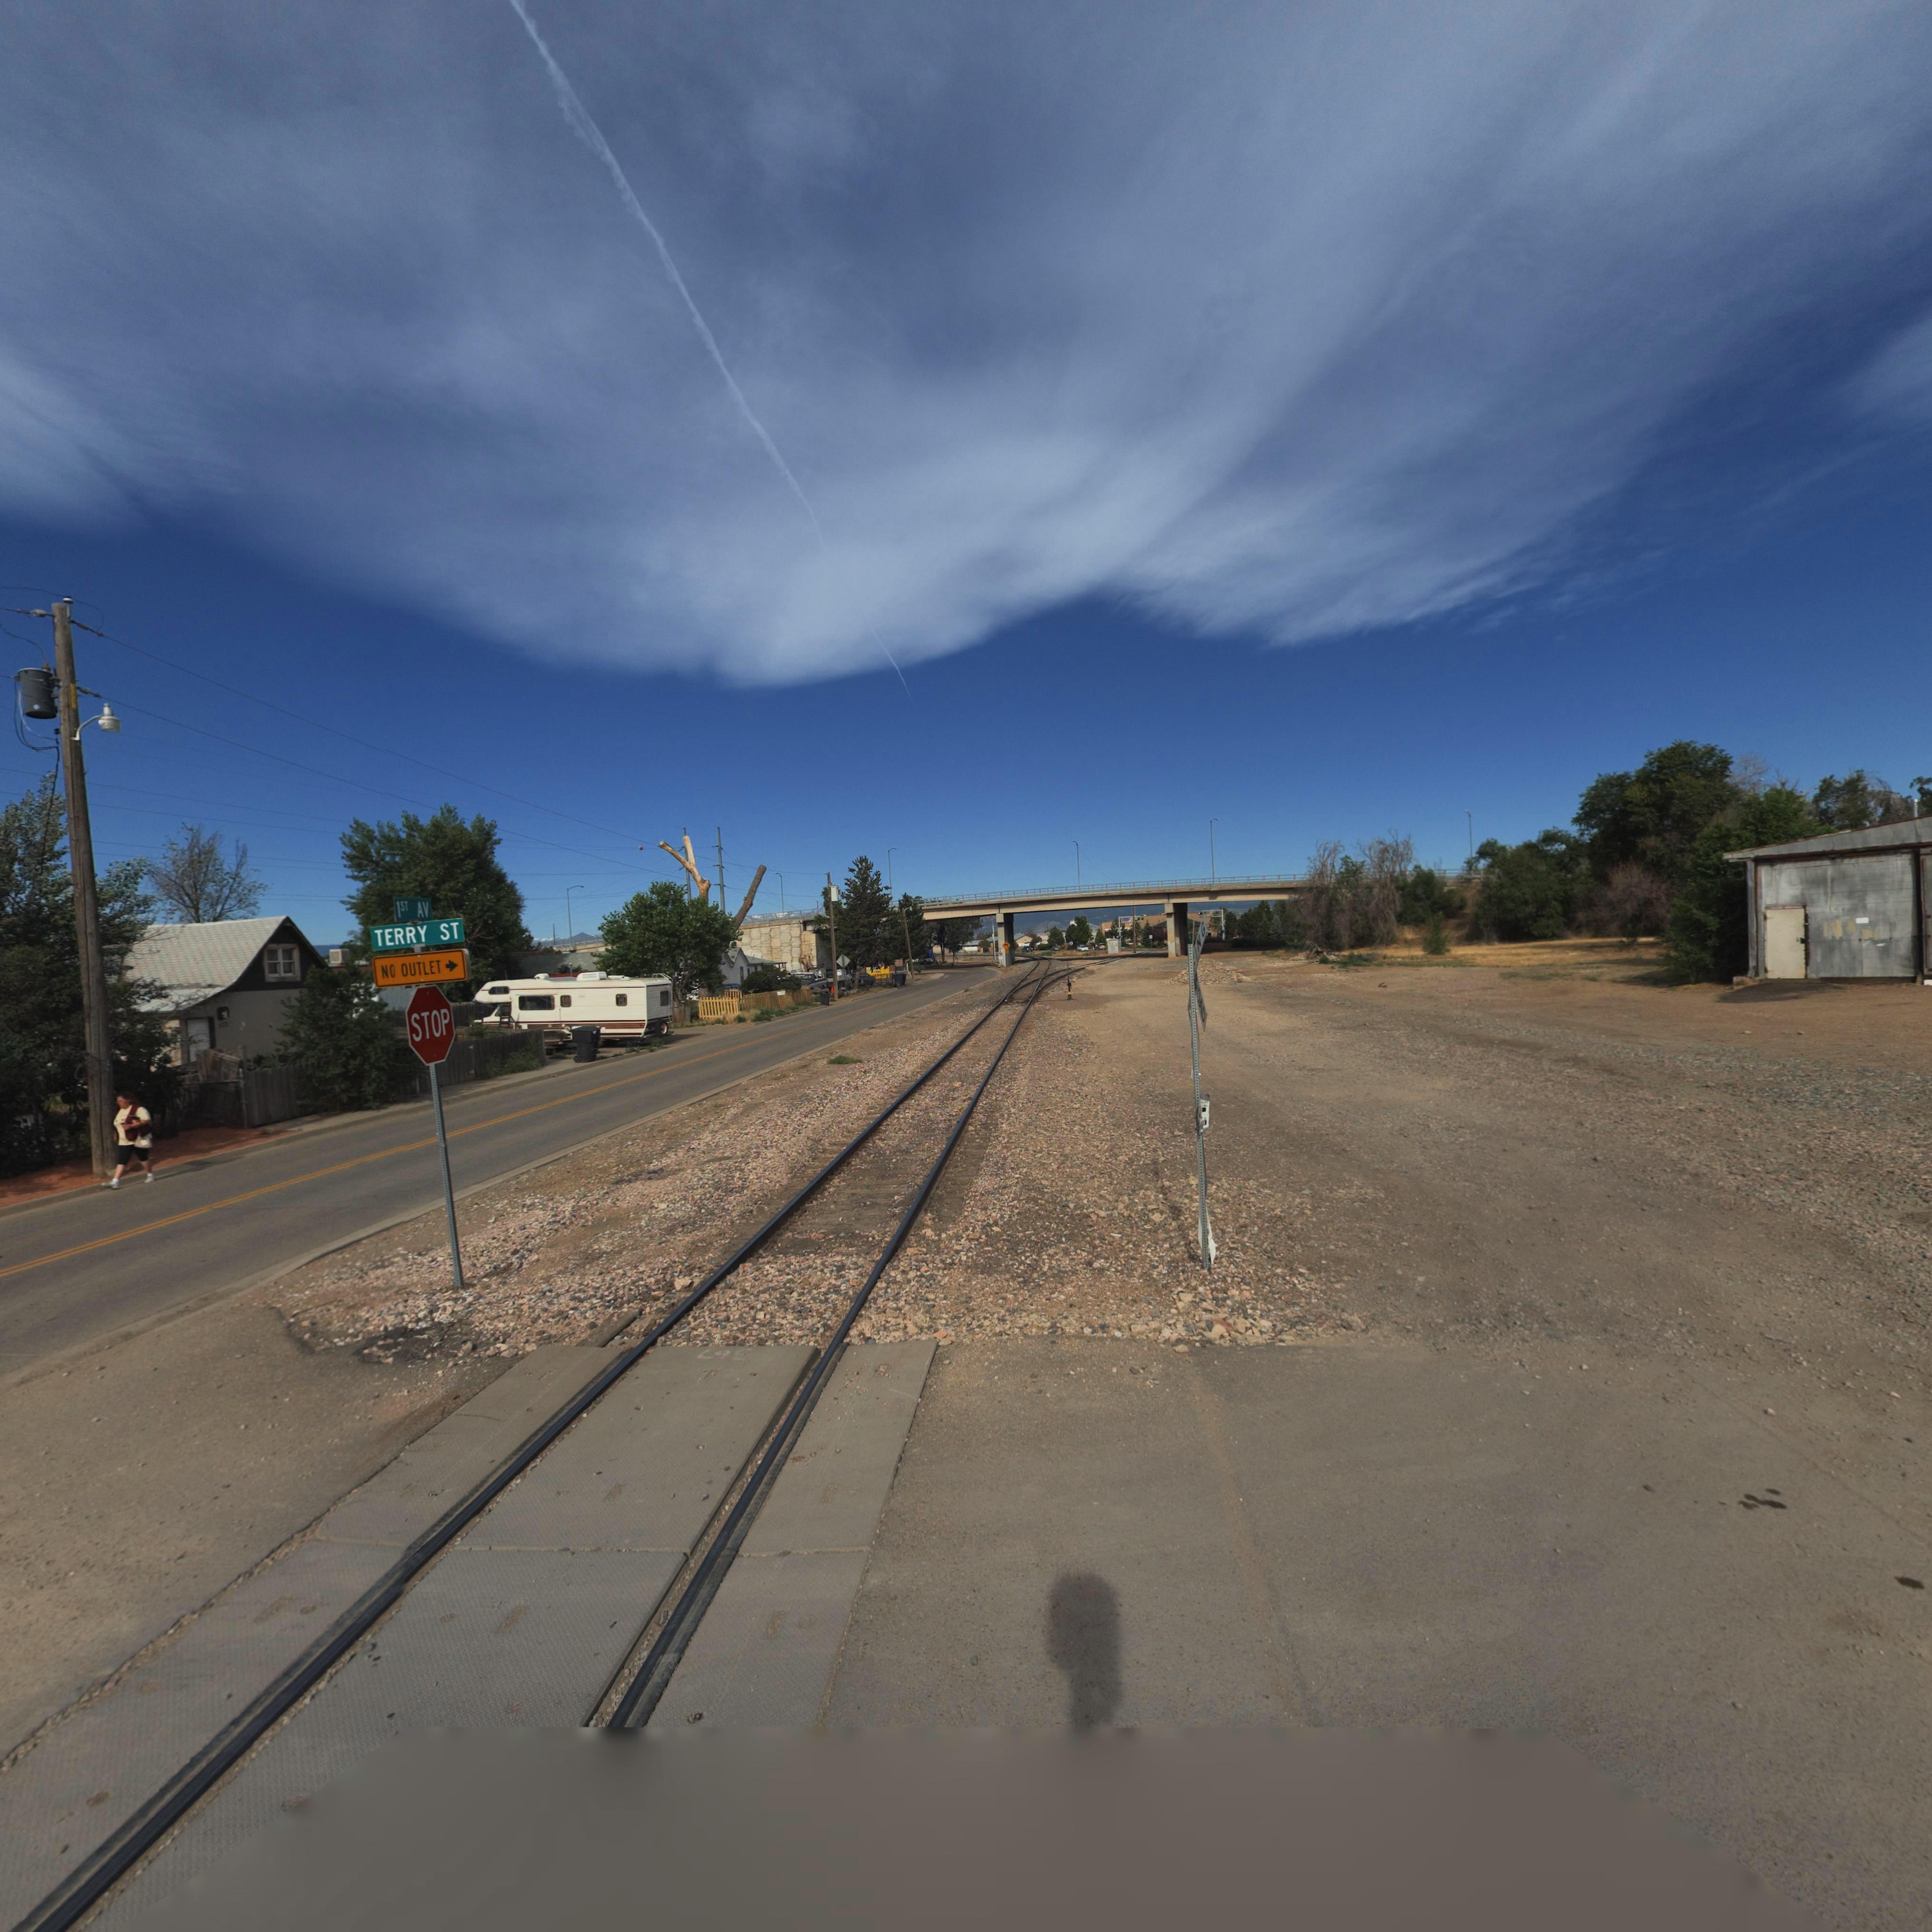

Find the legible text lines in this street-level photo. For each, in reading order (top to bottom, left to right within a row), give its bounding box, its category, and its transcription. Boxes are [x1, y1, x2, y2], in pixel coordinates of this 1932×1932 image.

[396, 900, 429, 918] StreetName: 1ST AV
[372, 921, 460, 947] StreetName: TERRY ST